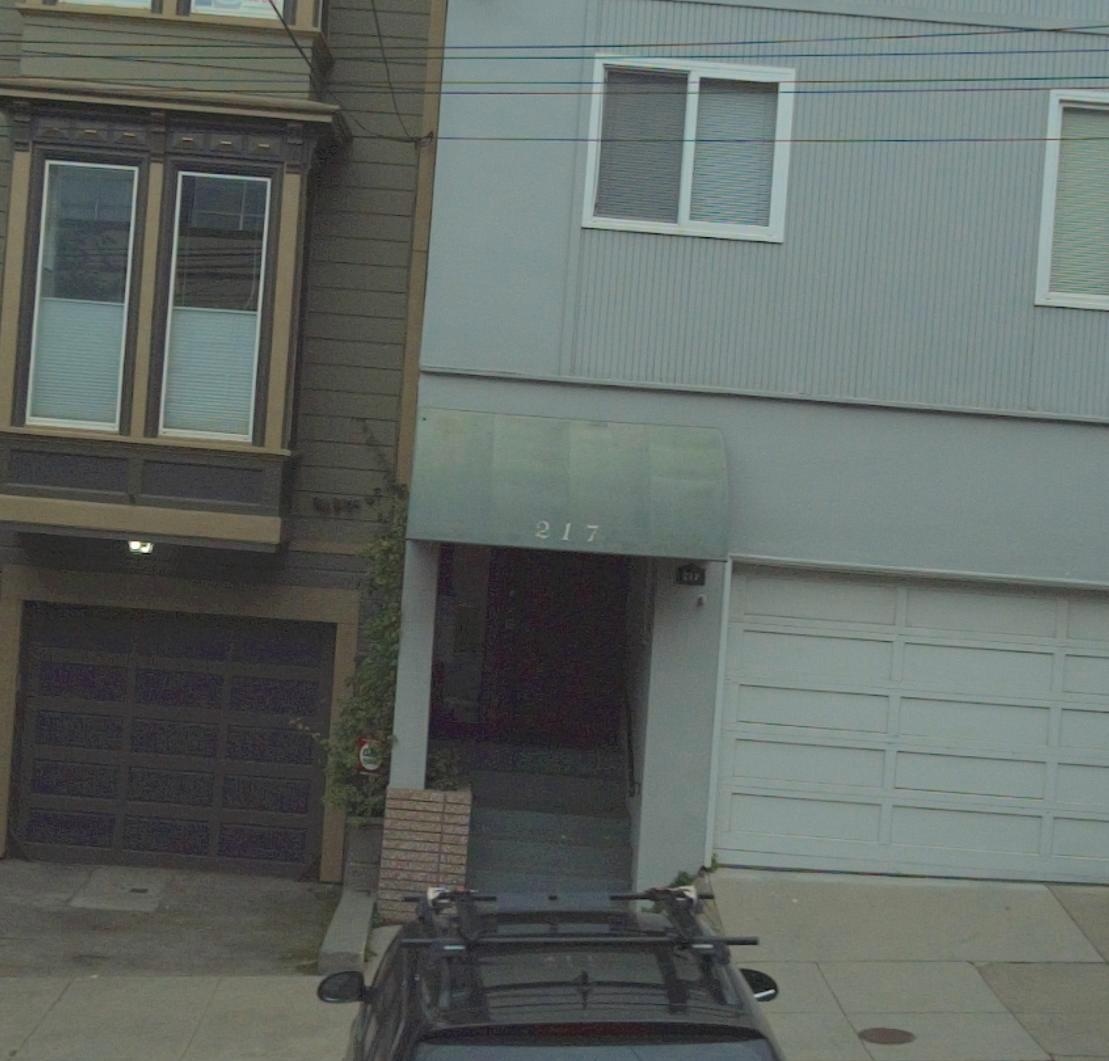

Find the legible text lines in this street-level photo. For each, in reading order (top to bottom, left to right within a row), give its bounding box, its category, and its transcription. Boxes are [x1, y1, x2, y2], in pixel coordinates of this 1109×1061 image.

[533, 519, 601, 543] StreetNumber: 217
[682, 571, 700, 582] StreetNumber: 217